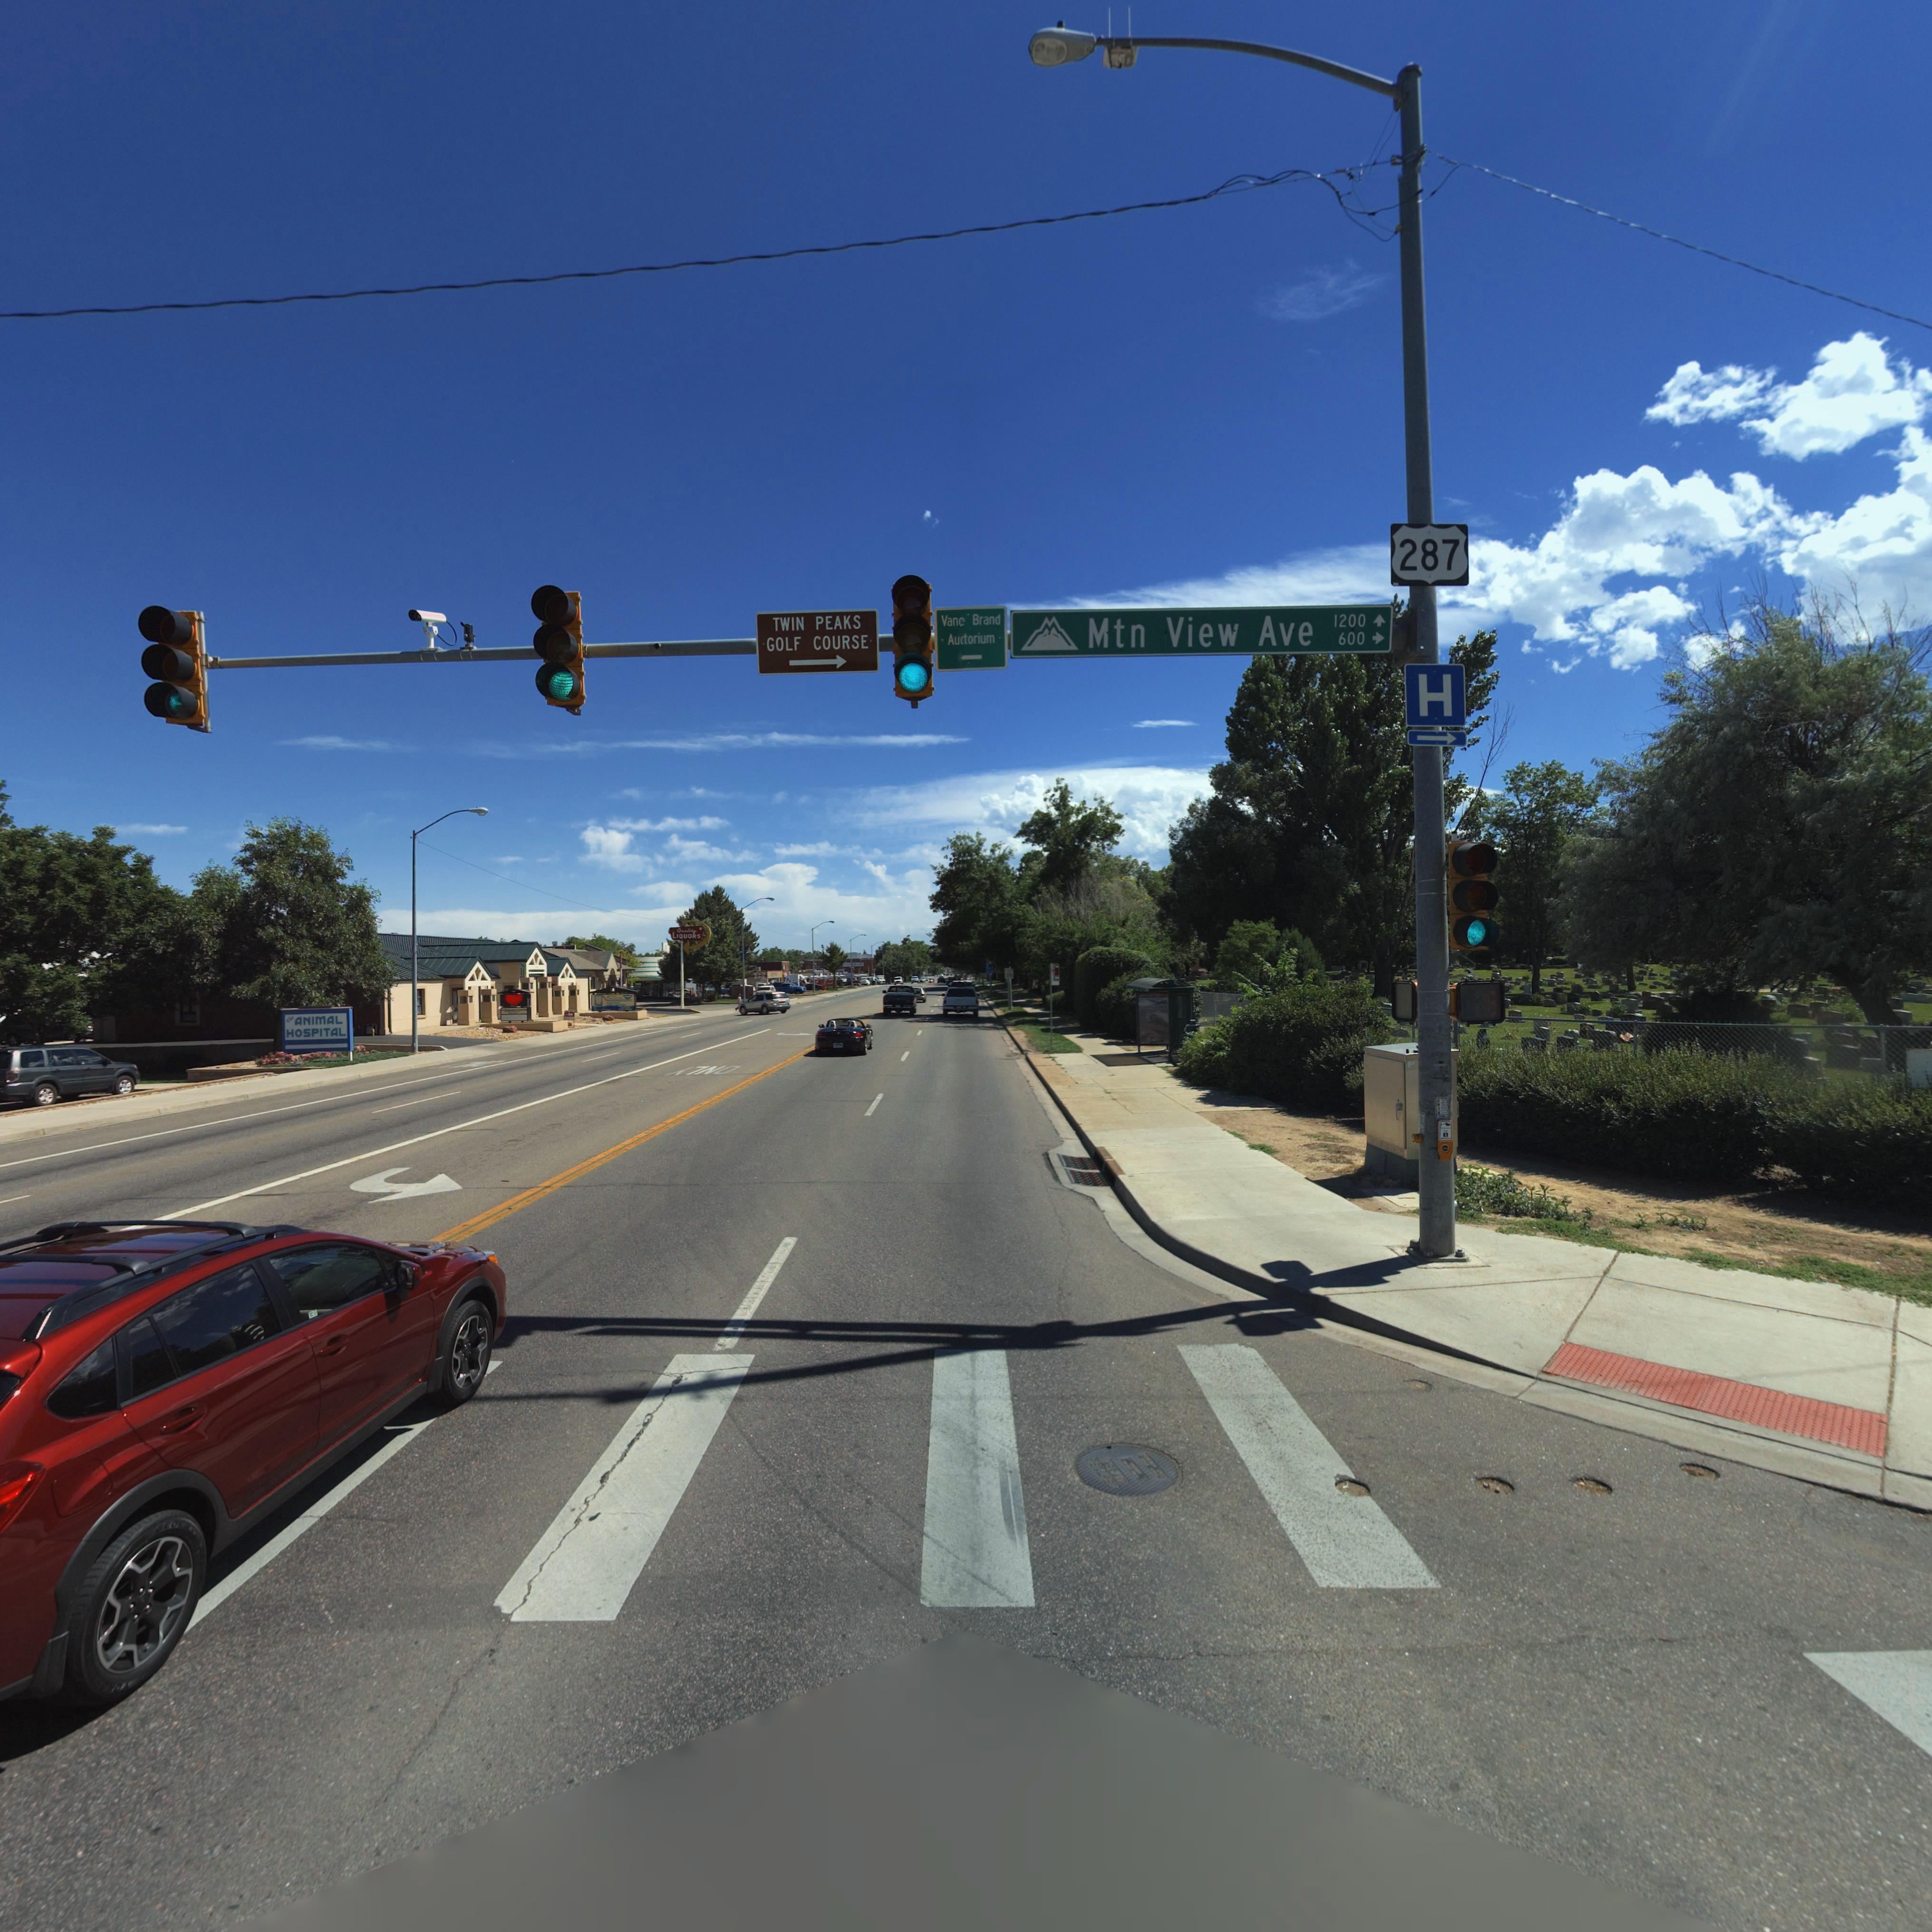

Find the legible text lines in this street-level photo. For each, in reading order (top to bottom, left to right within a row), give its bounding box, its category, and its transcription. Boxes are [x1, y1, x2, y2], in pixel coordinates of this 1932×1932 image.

[1333, 614, 1367, 628] StreetNumberRange: 1200
[1087, 614, 1315, 649] StreetName: Mtn View Ave
[1338, 631, 1385, 646] StreetNumberRange: 600->
[676, 927, 697, 934] BusinessName: Qu***ty
[672, 931, 701, 939] BusinessName: LIQUORS